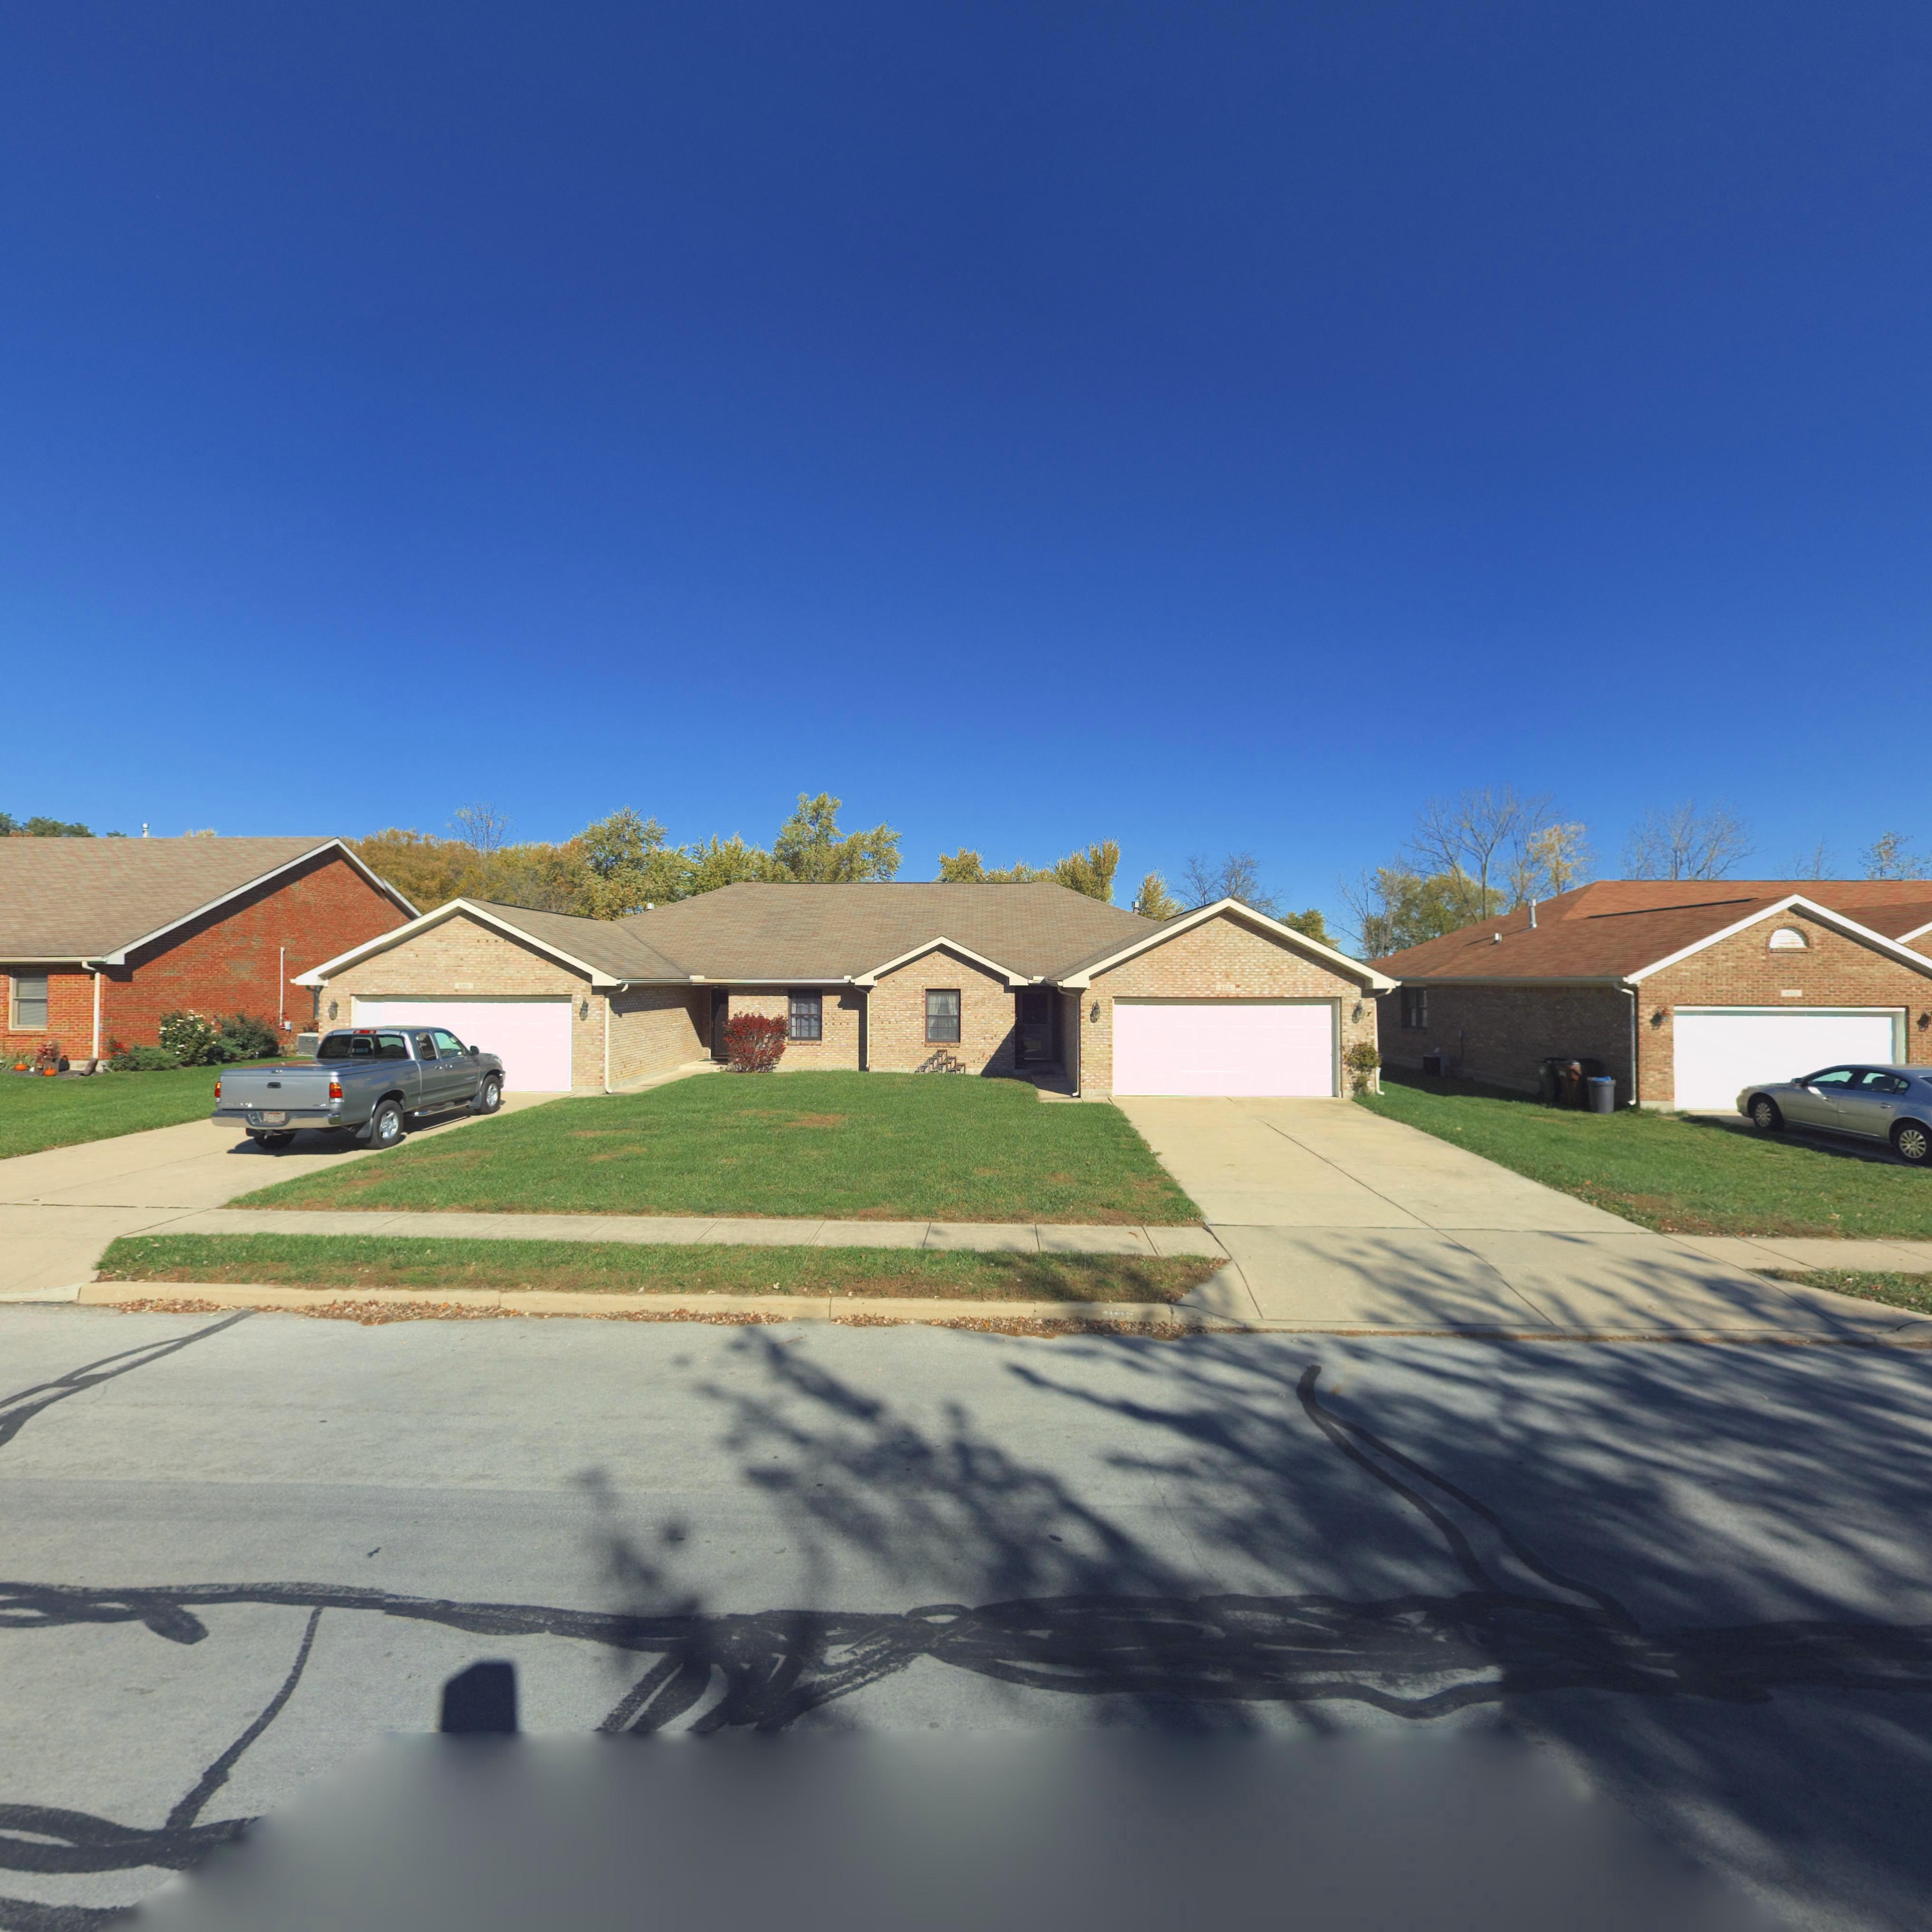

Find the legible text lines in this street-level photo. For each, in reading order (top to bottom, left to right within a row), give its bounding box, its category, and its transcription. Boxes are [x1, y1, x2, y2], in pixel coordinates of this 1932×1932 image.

[458, 983, 469, 988] StreetNumber: 60*
[1220, 985, 1231, 990] StreetNumber: 604
[1785, 990, 1798, 996] StreetNumber: **2